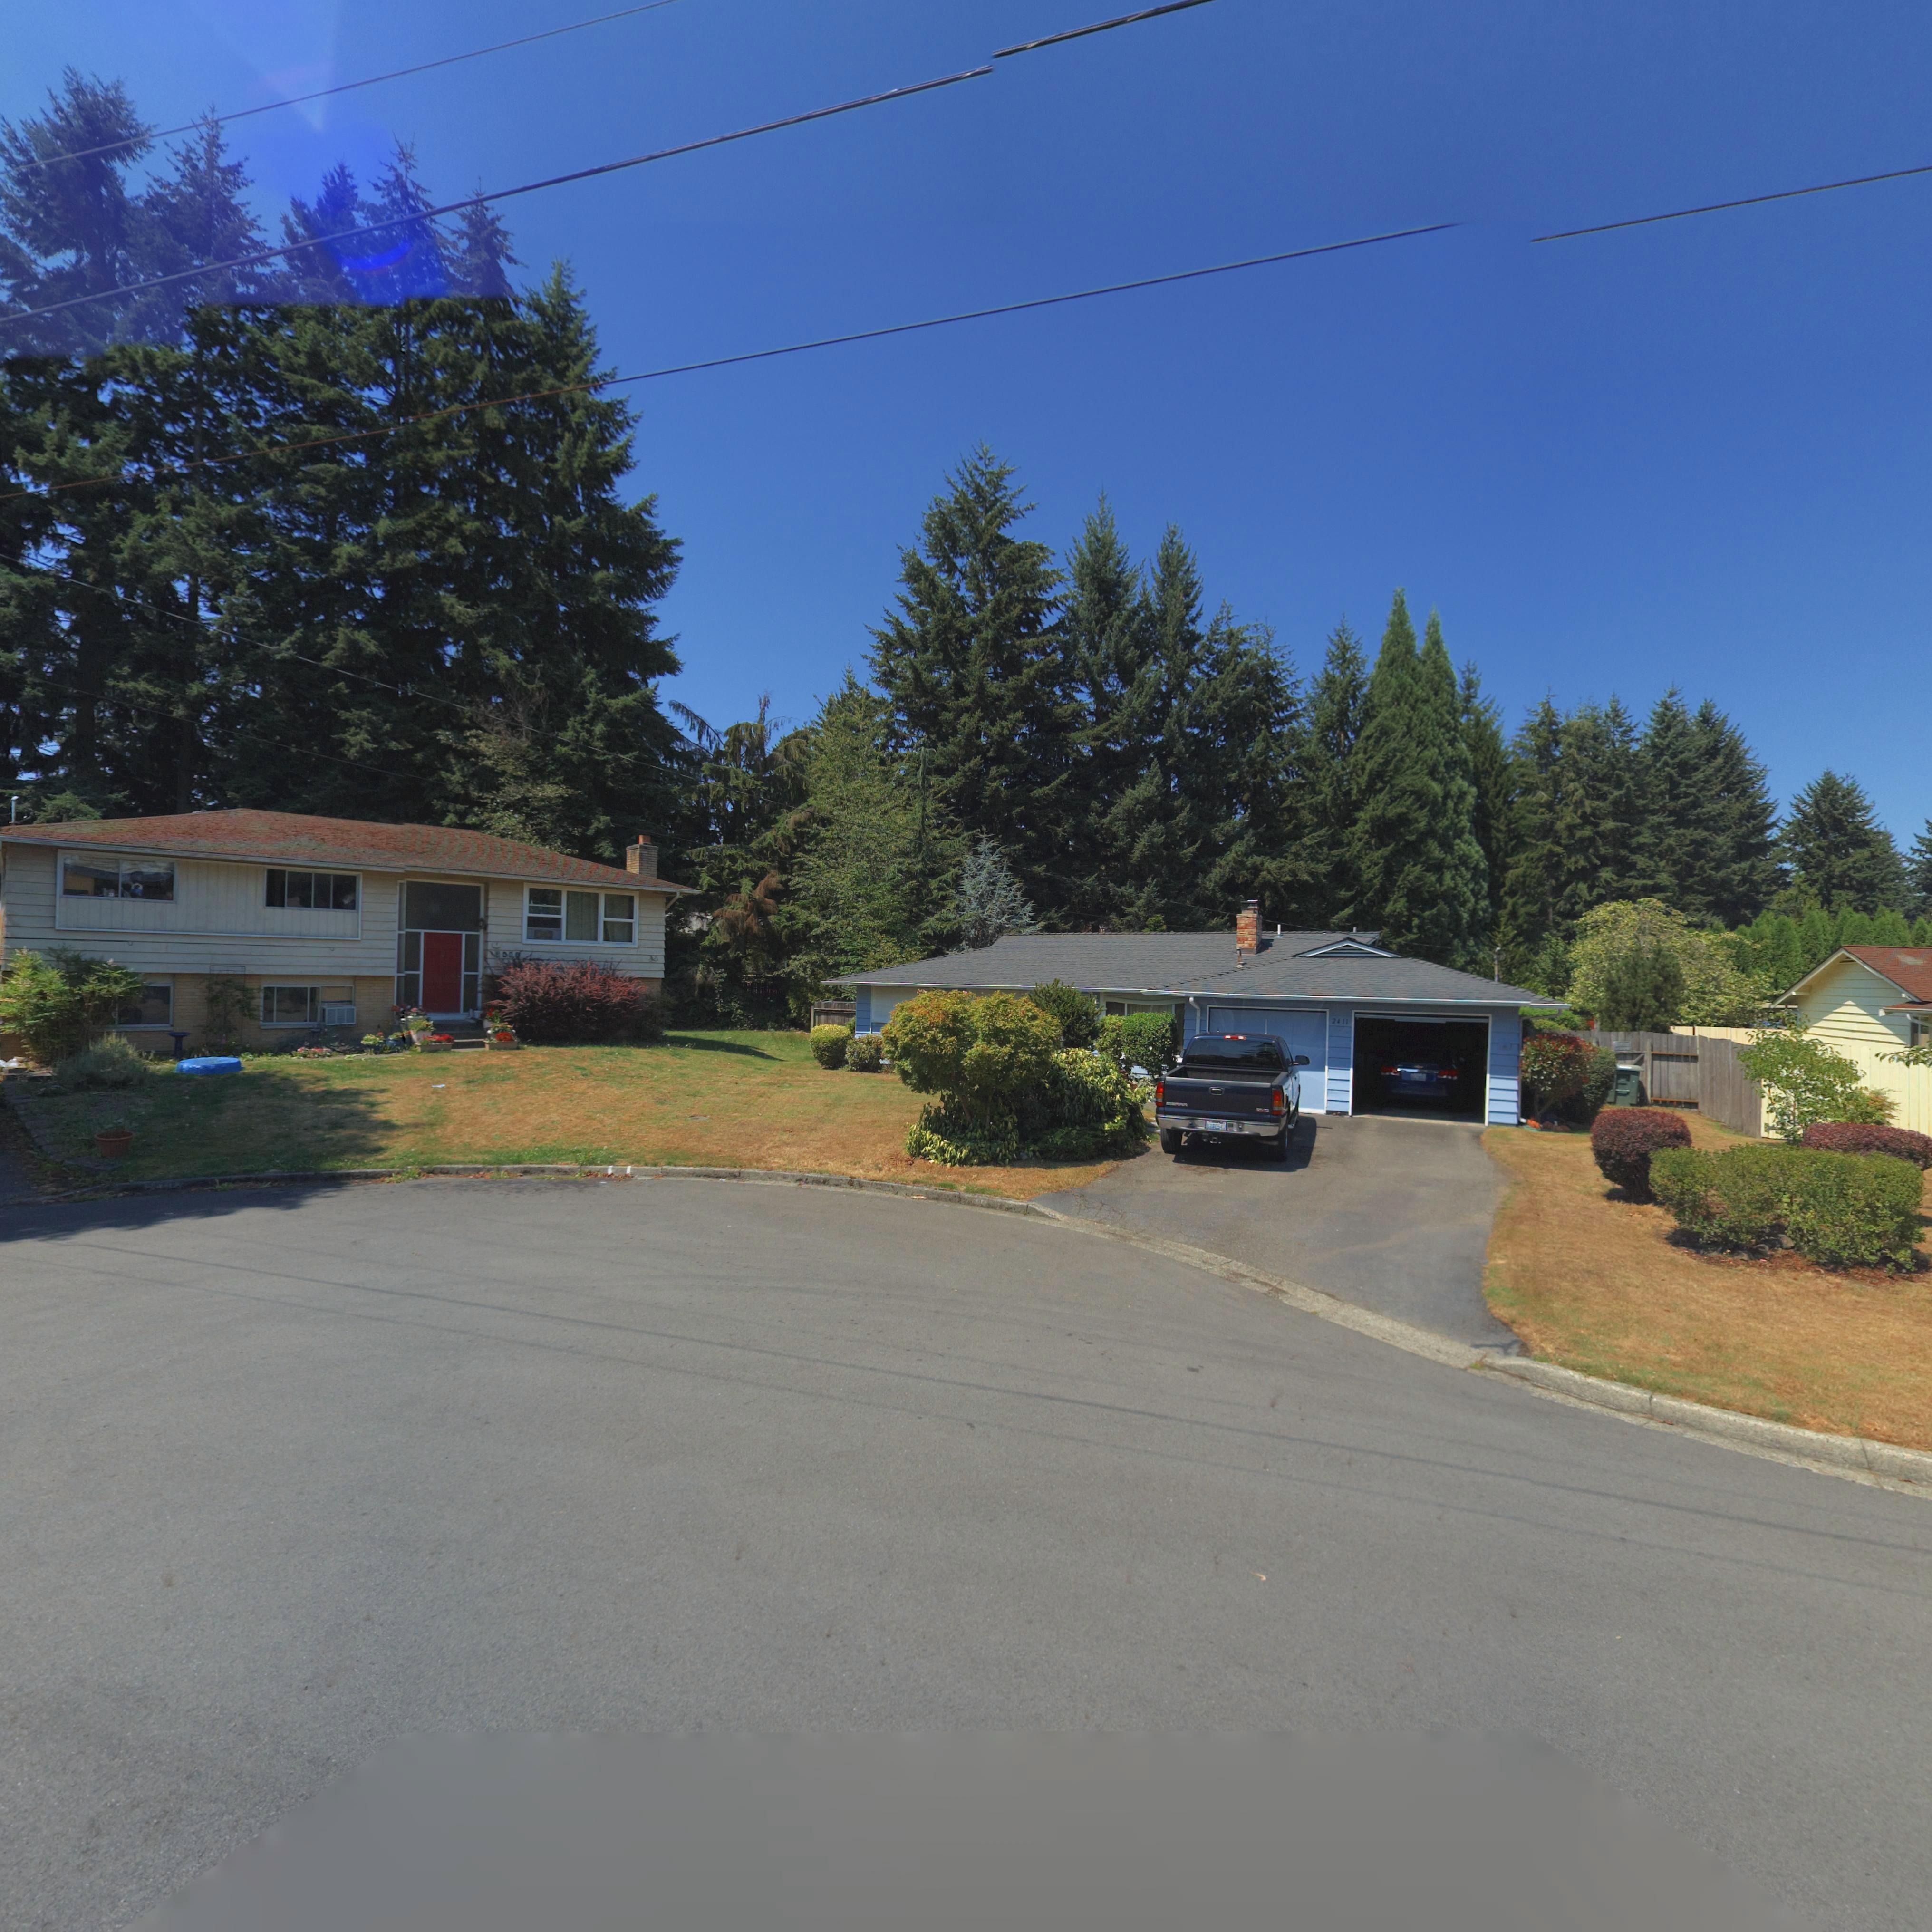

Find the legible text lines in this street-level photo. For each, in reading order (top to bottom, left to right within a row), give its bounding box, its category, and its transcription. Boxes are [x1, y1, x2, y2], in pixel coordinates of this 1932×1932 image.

[1332, 1018, 1349, 1024] StreetNumber: 2411